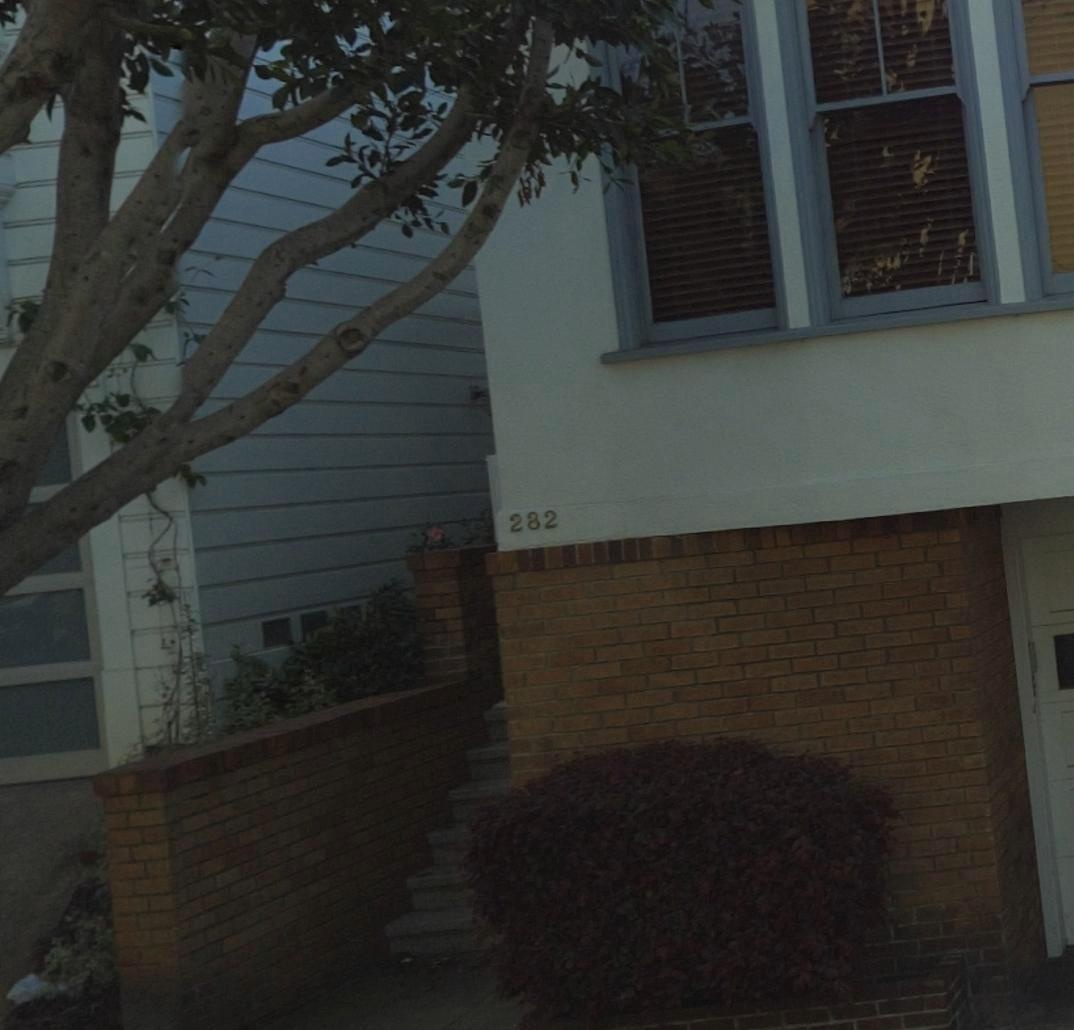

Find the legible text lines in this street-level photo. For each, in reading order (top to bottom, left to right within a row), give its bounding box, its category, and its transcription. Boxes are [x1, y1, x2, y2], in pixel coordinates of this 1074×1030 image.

[508, 509, 558, 534] StreetNumber: 282